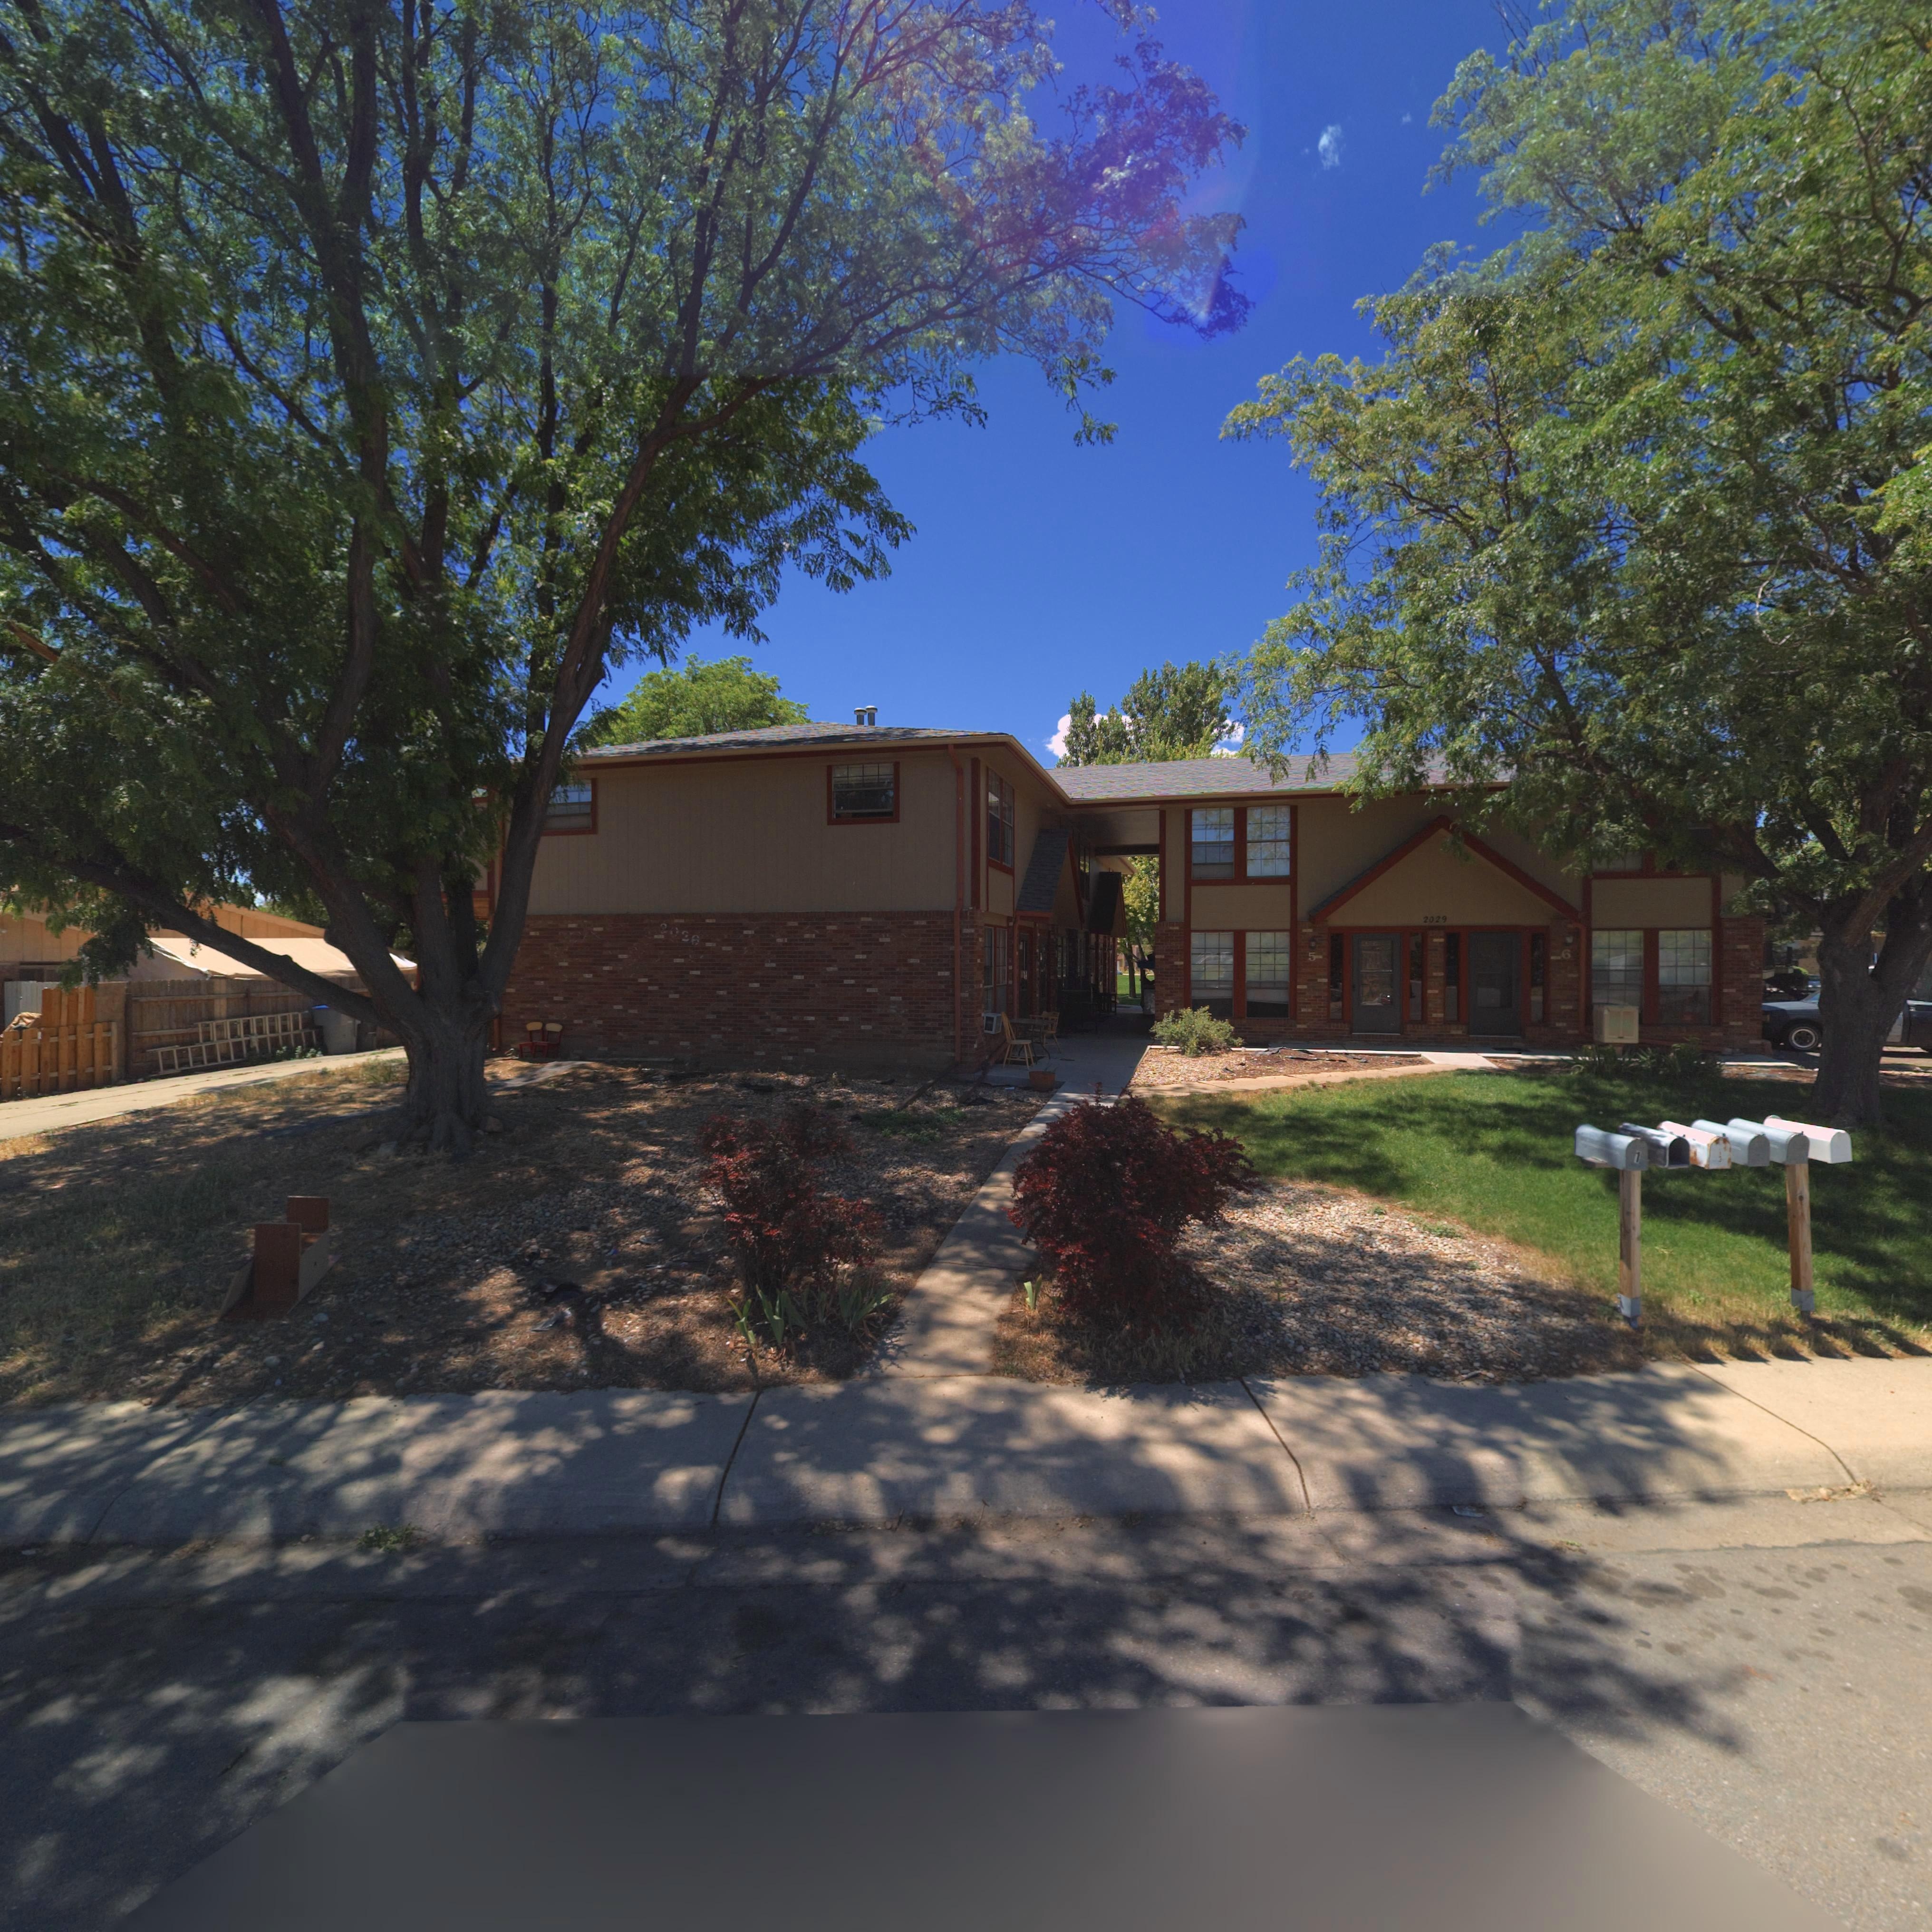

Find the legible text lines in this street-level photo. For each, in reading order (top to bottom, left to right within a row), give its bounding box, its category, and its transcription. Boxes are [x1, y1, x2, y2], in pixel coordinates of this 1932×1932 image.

[1422, 915, 1447, 923] StreetNumber: 2029
[660, 923, 699, 947] StreetNumber: 2028
[1308, 952, 1316, 962] StreetNumber: 5
[1561, 948, 1571, 959] StreetNumber: 6
[1635, 1151, 1640, 1162] StreetNumber: 1
[1719, 1156, 1722, 1162] StreetNumber: 3